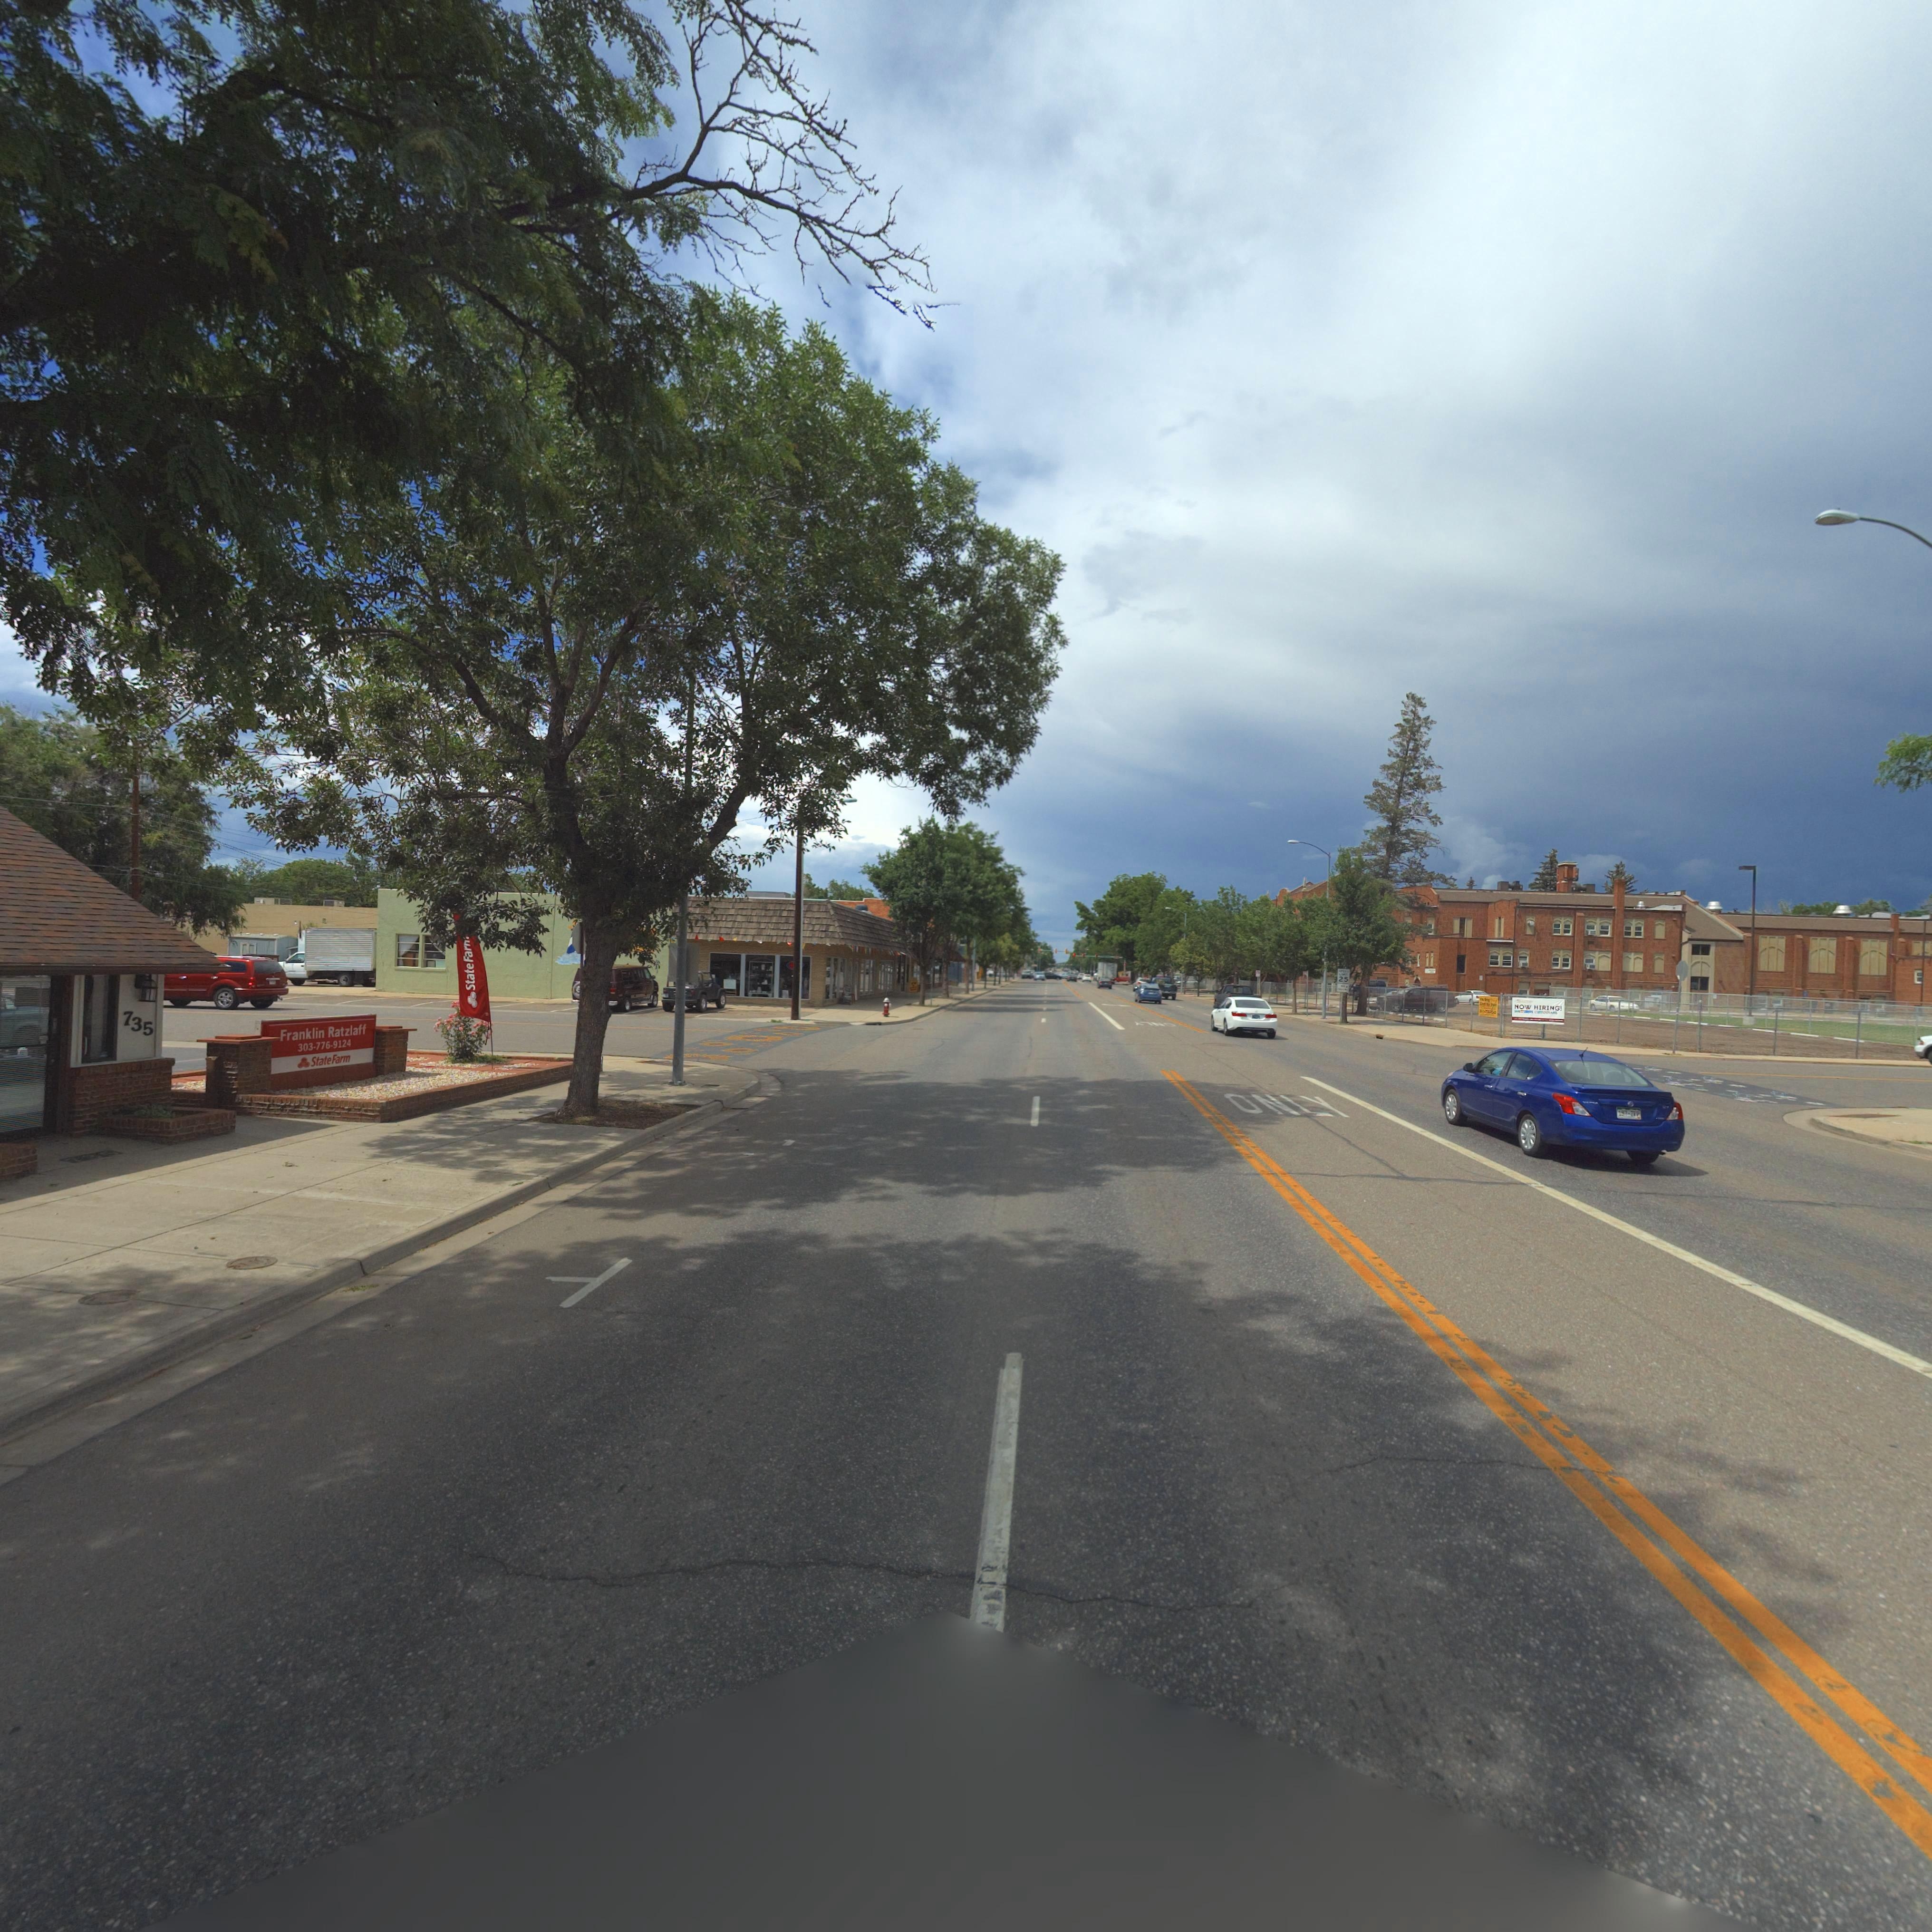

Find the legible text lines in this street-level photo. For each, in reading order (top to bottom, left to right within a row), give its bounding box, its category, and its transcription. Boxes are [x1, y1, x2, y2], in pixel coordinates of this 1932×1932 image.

[462, 936, 476, 991] BusinessName: StateFar*
[123, 1011, 154, 1036] StreetNumber: 735
[310, 1053, 351, 1067] BusinessName: StateFarm
[61, 1150, 118, 1163] StreetNumber: 735